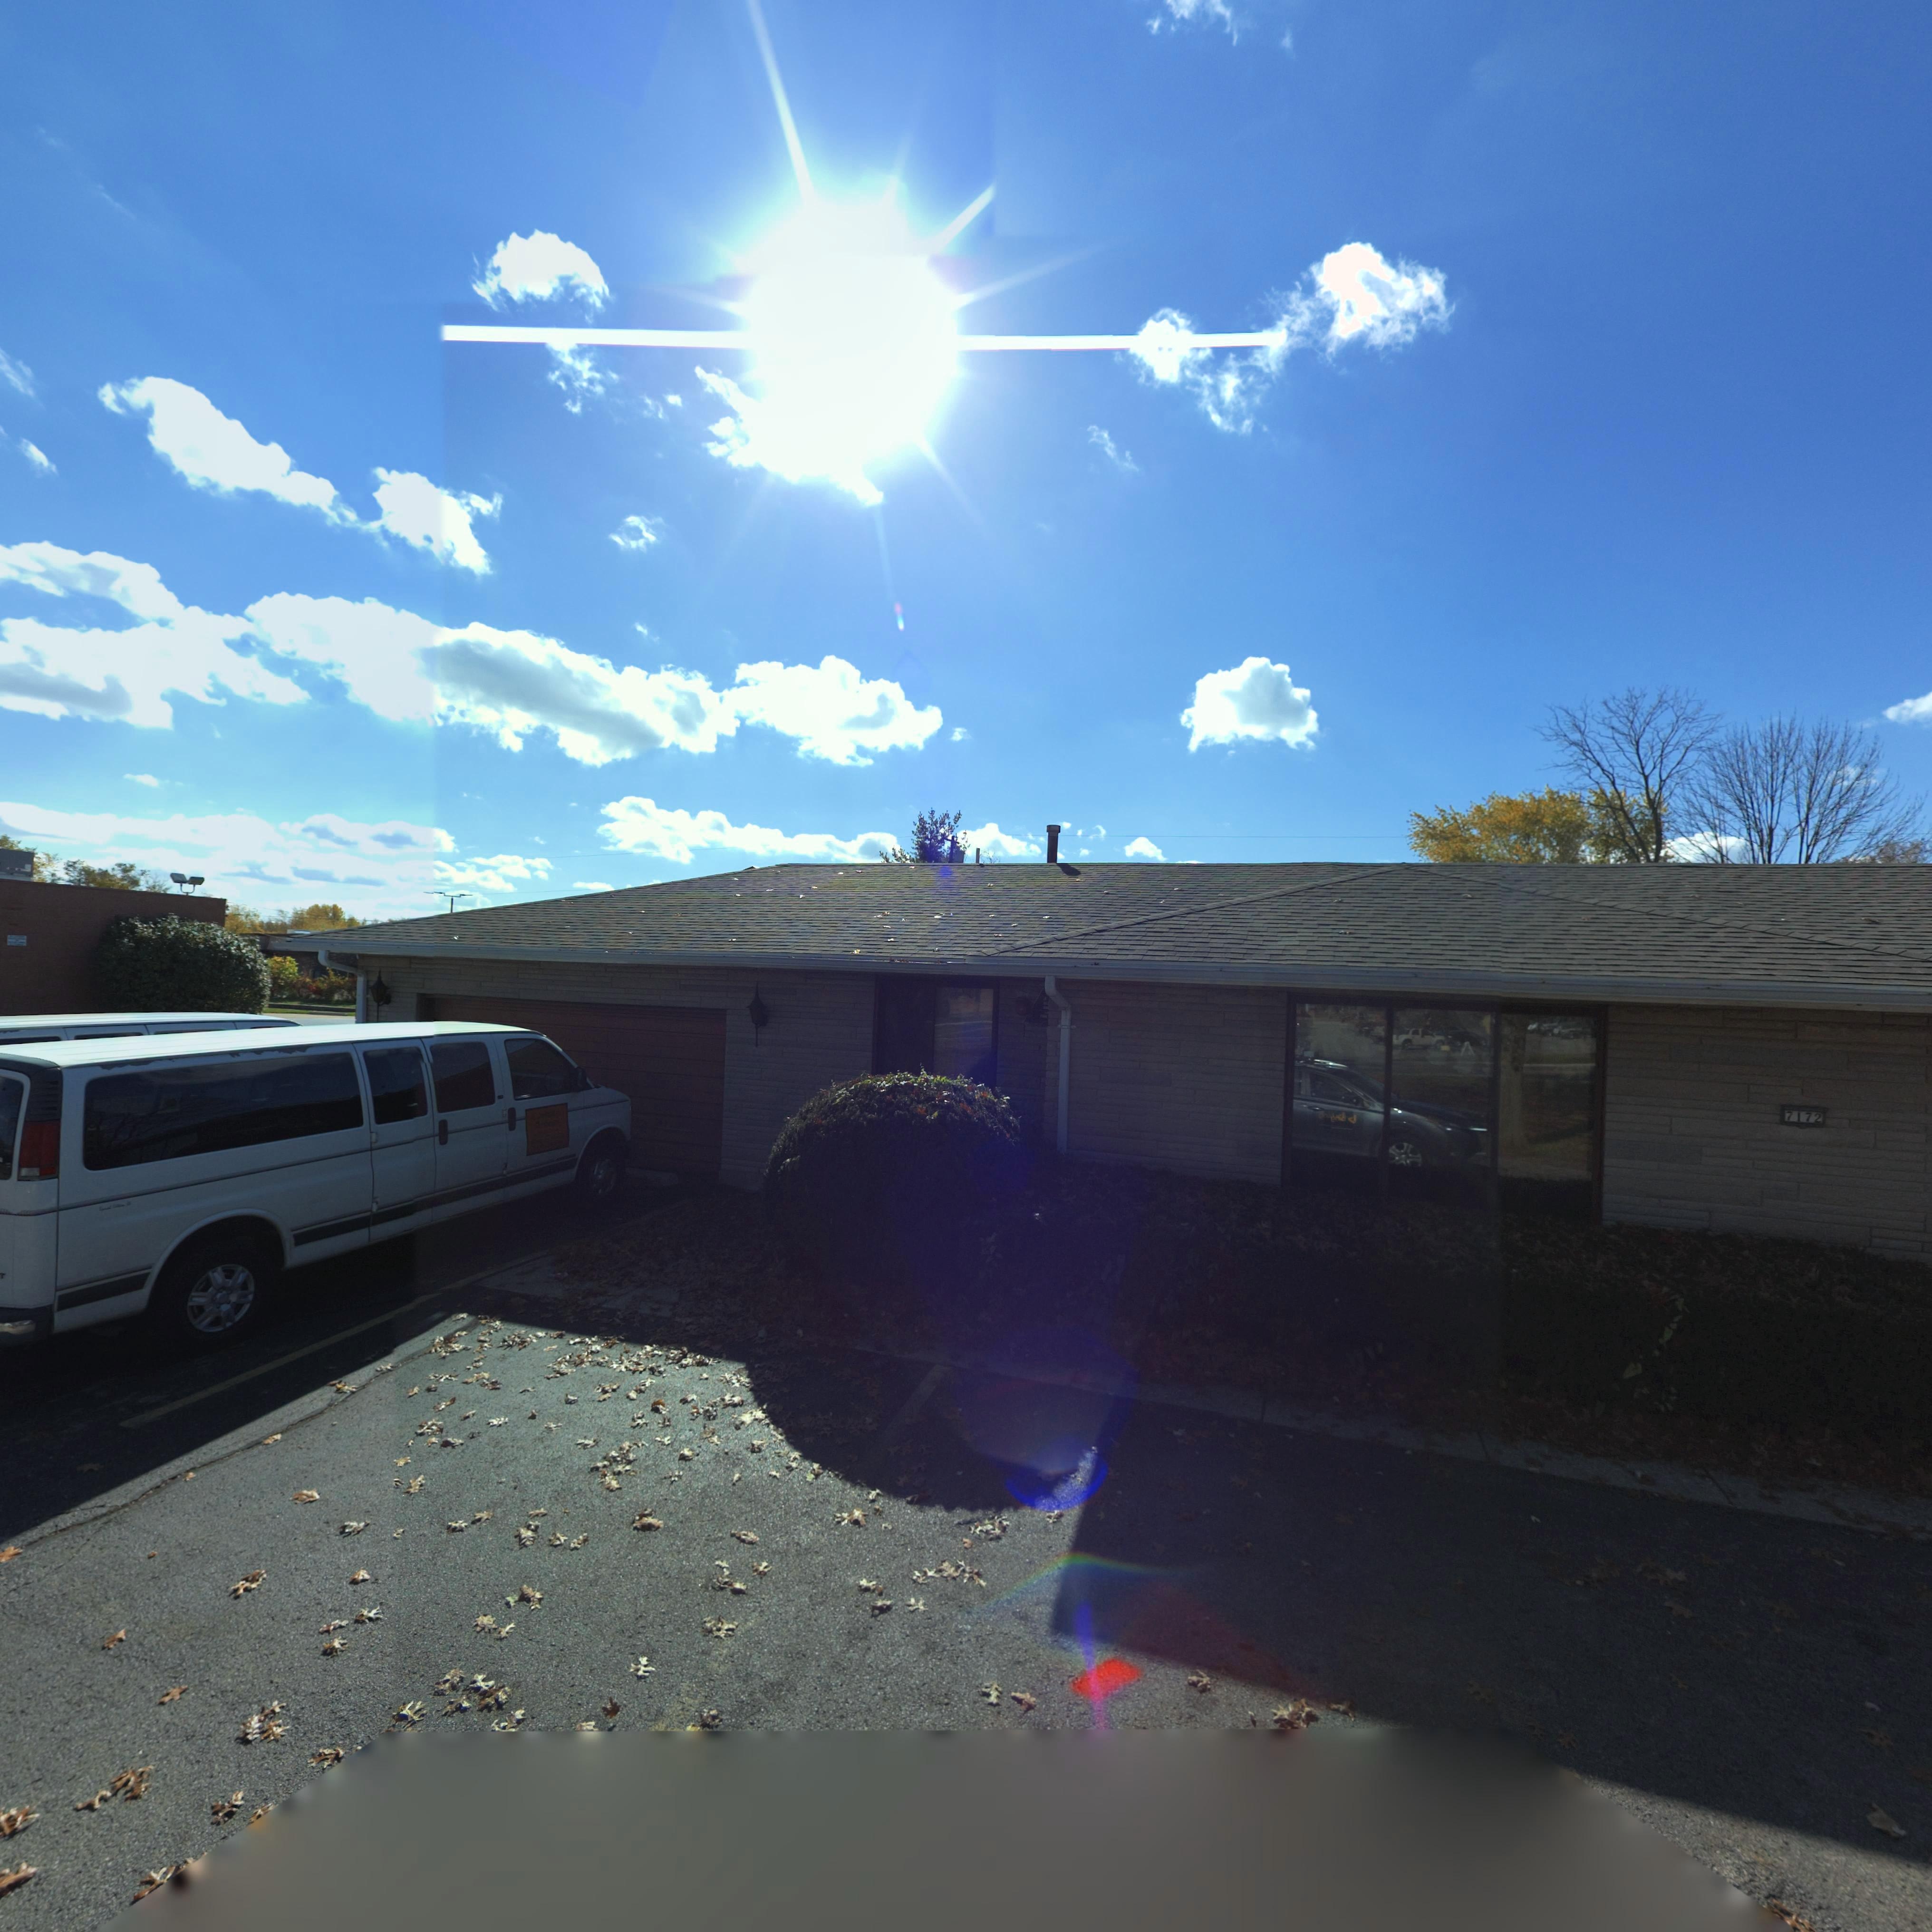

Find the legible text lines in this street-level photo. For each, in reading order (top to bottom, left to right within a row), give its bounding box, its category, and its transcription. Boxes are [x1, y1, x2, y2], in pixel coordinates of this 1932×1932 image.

[1784, 1110, 1823, 1125] StreetNumber: 7172